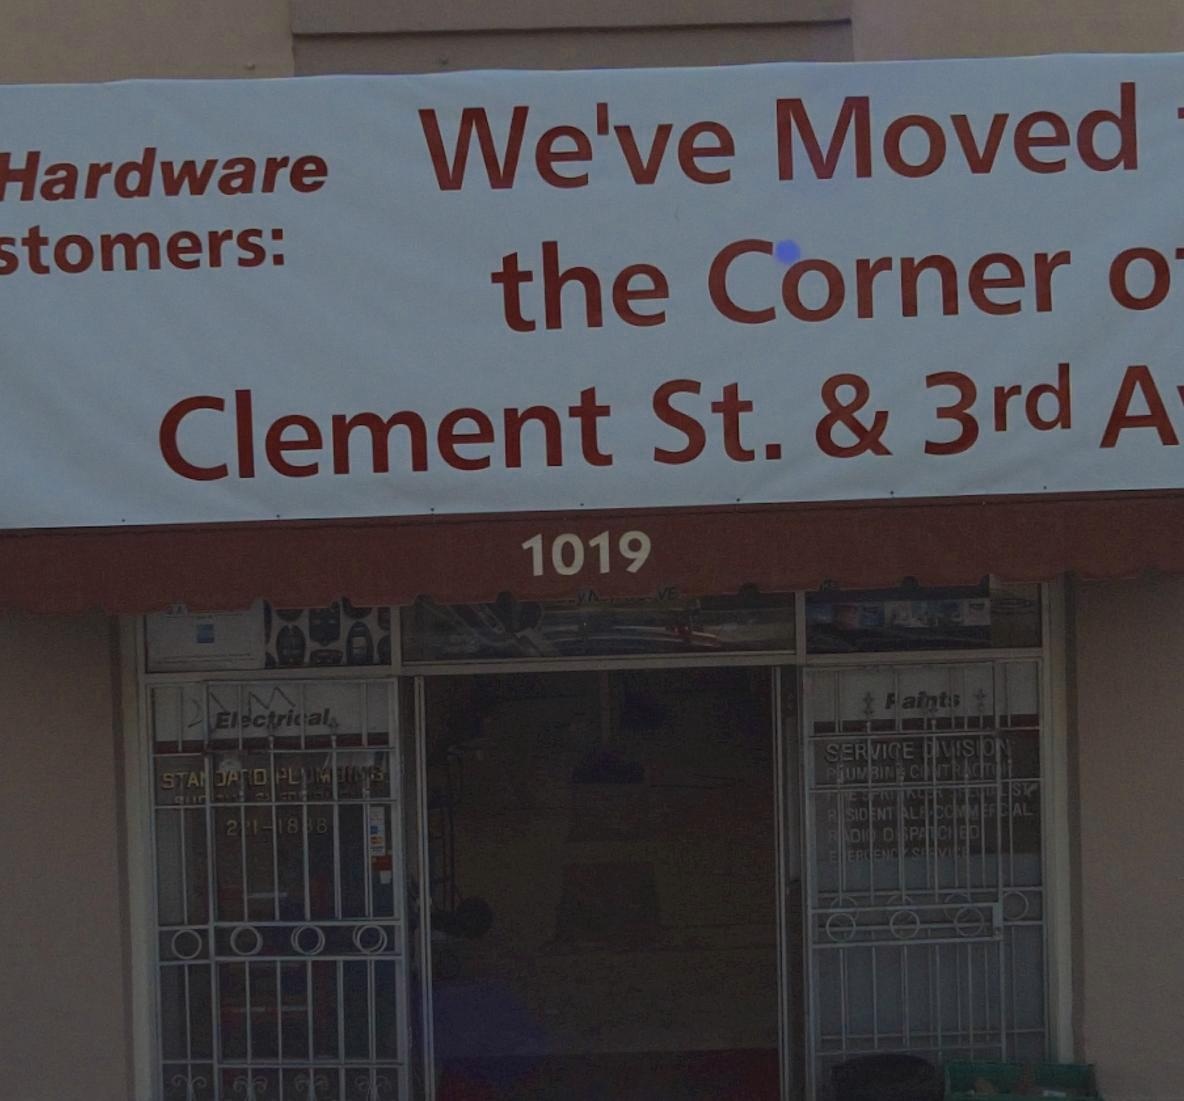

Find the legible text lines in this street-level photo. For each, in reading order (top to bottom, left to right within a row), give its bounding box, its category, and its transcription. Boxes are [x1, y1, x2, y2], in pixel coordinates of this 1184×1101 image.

[416, 81, 1140, 195] None: We've Moved
[0, 146, 333, 204] None: Hardware
[18, 222, 287, 276] None: tomers:
[486, 236, 1172, 335] None: the Corner o
[154, 359, 1184, 485] None: Clement St. & 3rd A
[519, 529, 654, 578] StreetNumber: 1019
[901, 690, 950, 710] None: aint
[214, 707, 332, 730] None: El*ctri*al
[825, 737, 1012, 764] None: SERVI*E *IVISIO*
[160, 765, 331, 790] None: STA**A*D PL*M
[826, 763, 951, 782] None: P*UMBIN* C**T
[1012, 781, 1031, 797] None: ST
[826, 802, 1034, 824] None: R*SID*NT**L * *OMM**C*AL
[224, 817, 328, 838] None: 2*1-18*8
[827, 824, 981, 844] None: R*DI* D**P**C*ED
[828, 846, 970, 864] None: E*ER*ENC* SE*VI**